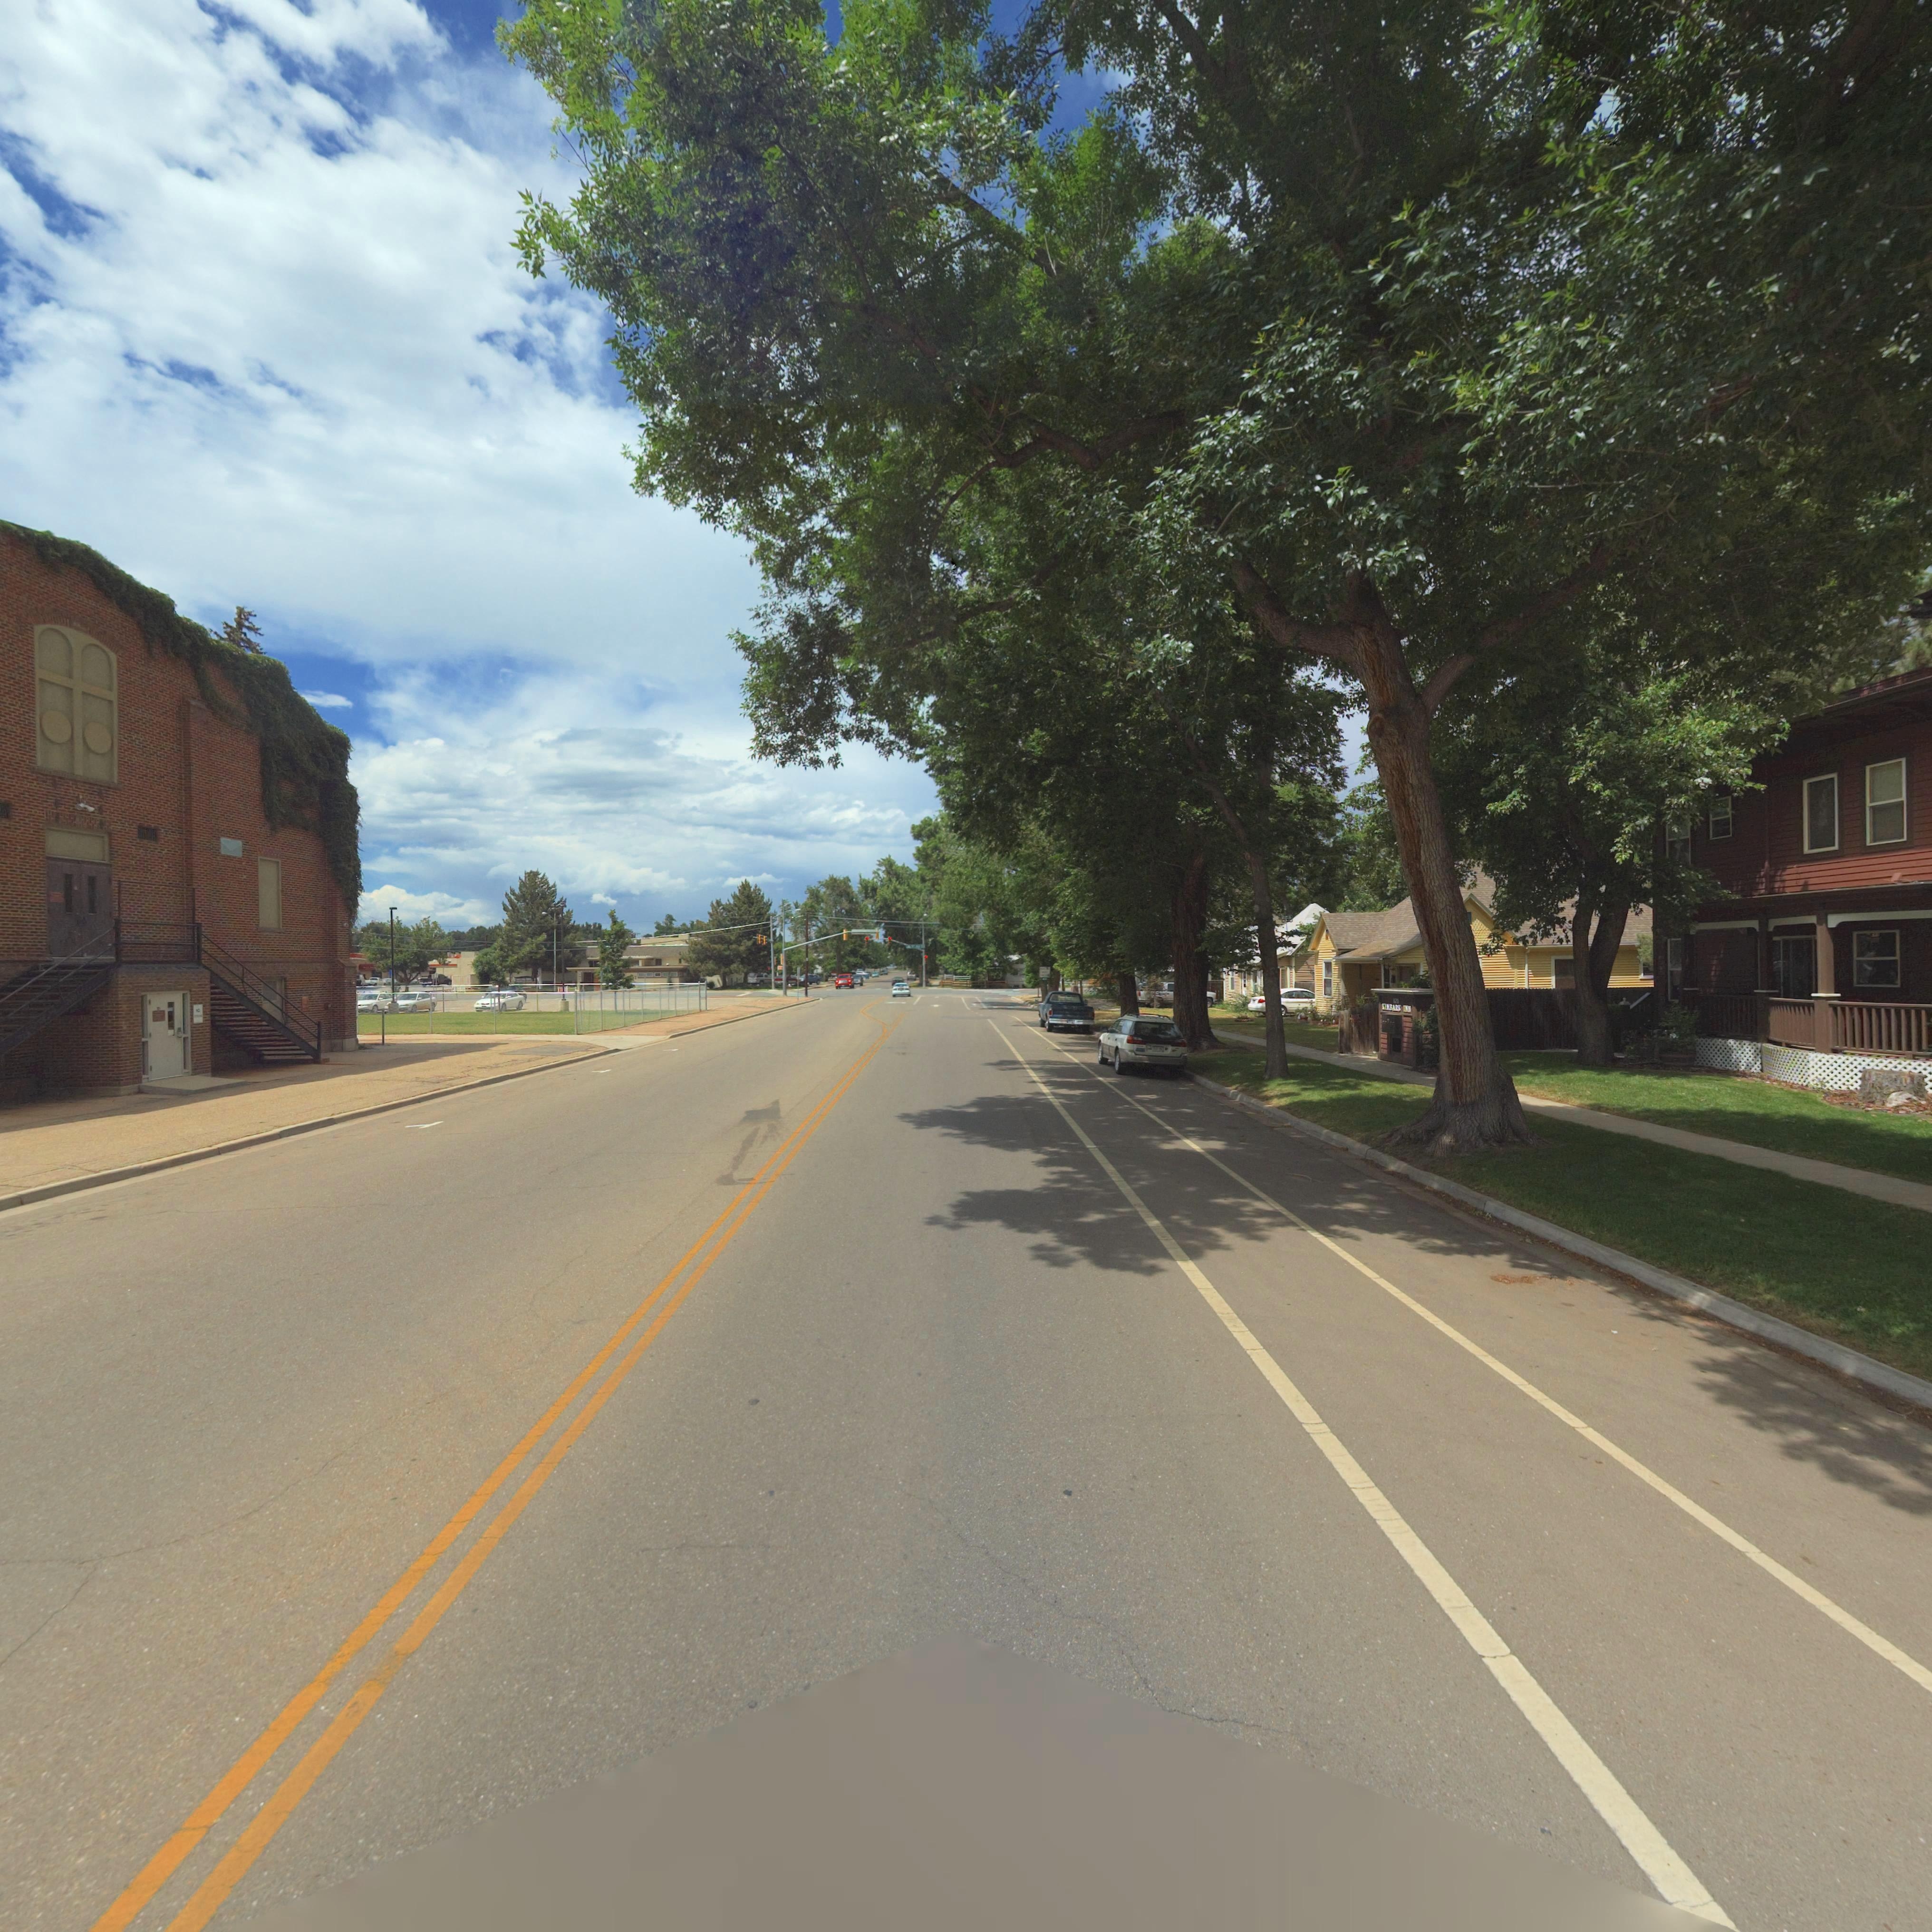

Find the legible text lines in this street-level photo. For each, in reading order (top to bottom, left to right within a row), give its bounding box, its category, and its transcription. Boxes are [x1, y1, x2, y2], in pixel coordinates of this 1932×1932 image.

[1393, 998, 1399, 1004] StreetNumber: *2*
[1381, 1003, 1411, 1013] BusinessName: KIMBARKS INN